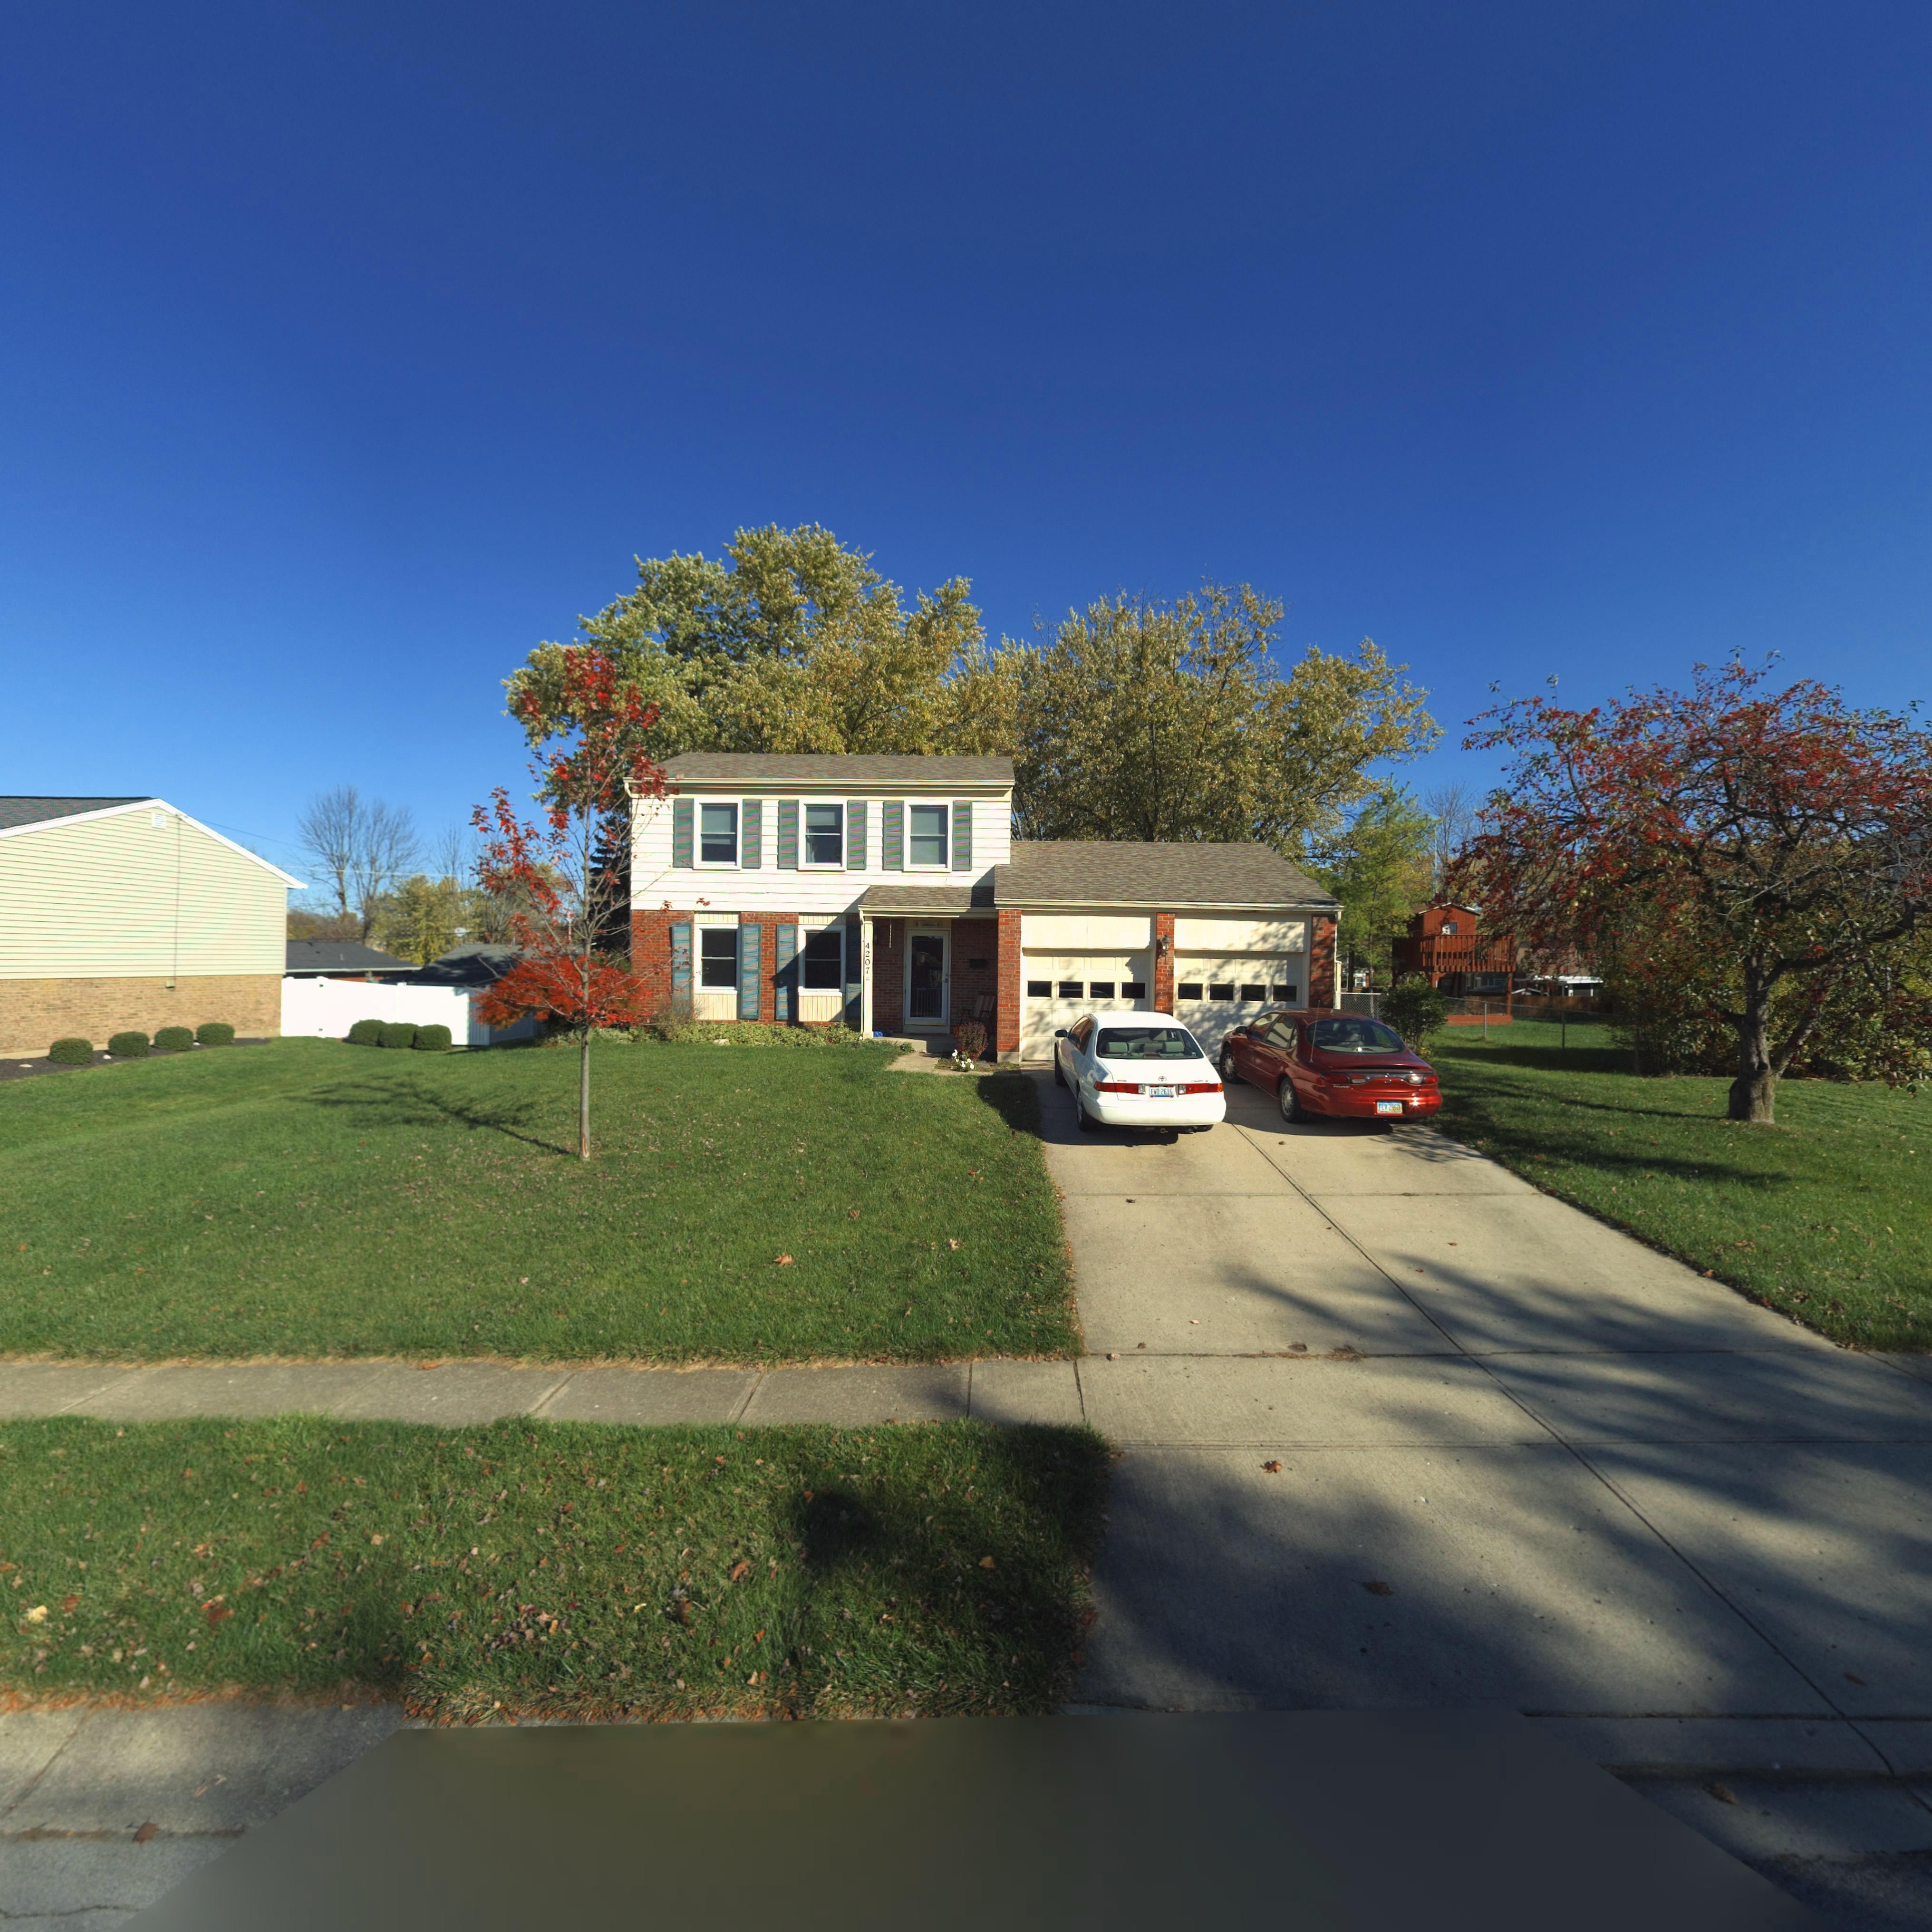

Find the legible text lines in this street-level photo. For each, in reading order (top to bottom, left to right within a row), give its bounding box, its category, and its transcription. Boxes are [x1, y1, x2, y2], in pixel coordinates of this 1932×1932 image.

[864, 941, 871, 975] StreetNumber: 4207
[1150, 1088, 1173, 1095] None: EWD*2616
[1378, 1103, 1401, 1111] None: FLY*2*60